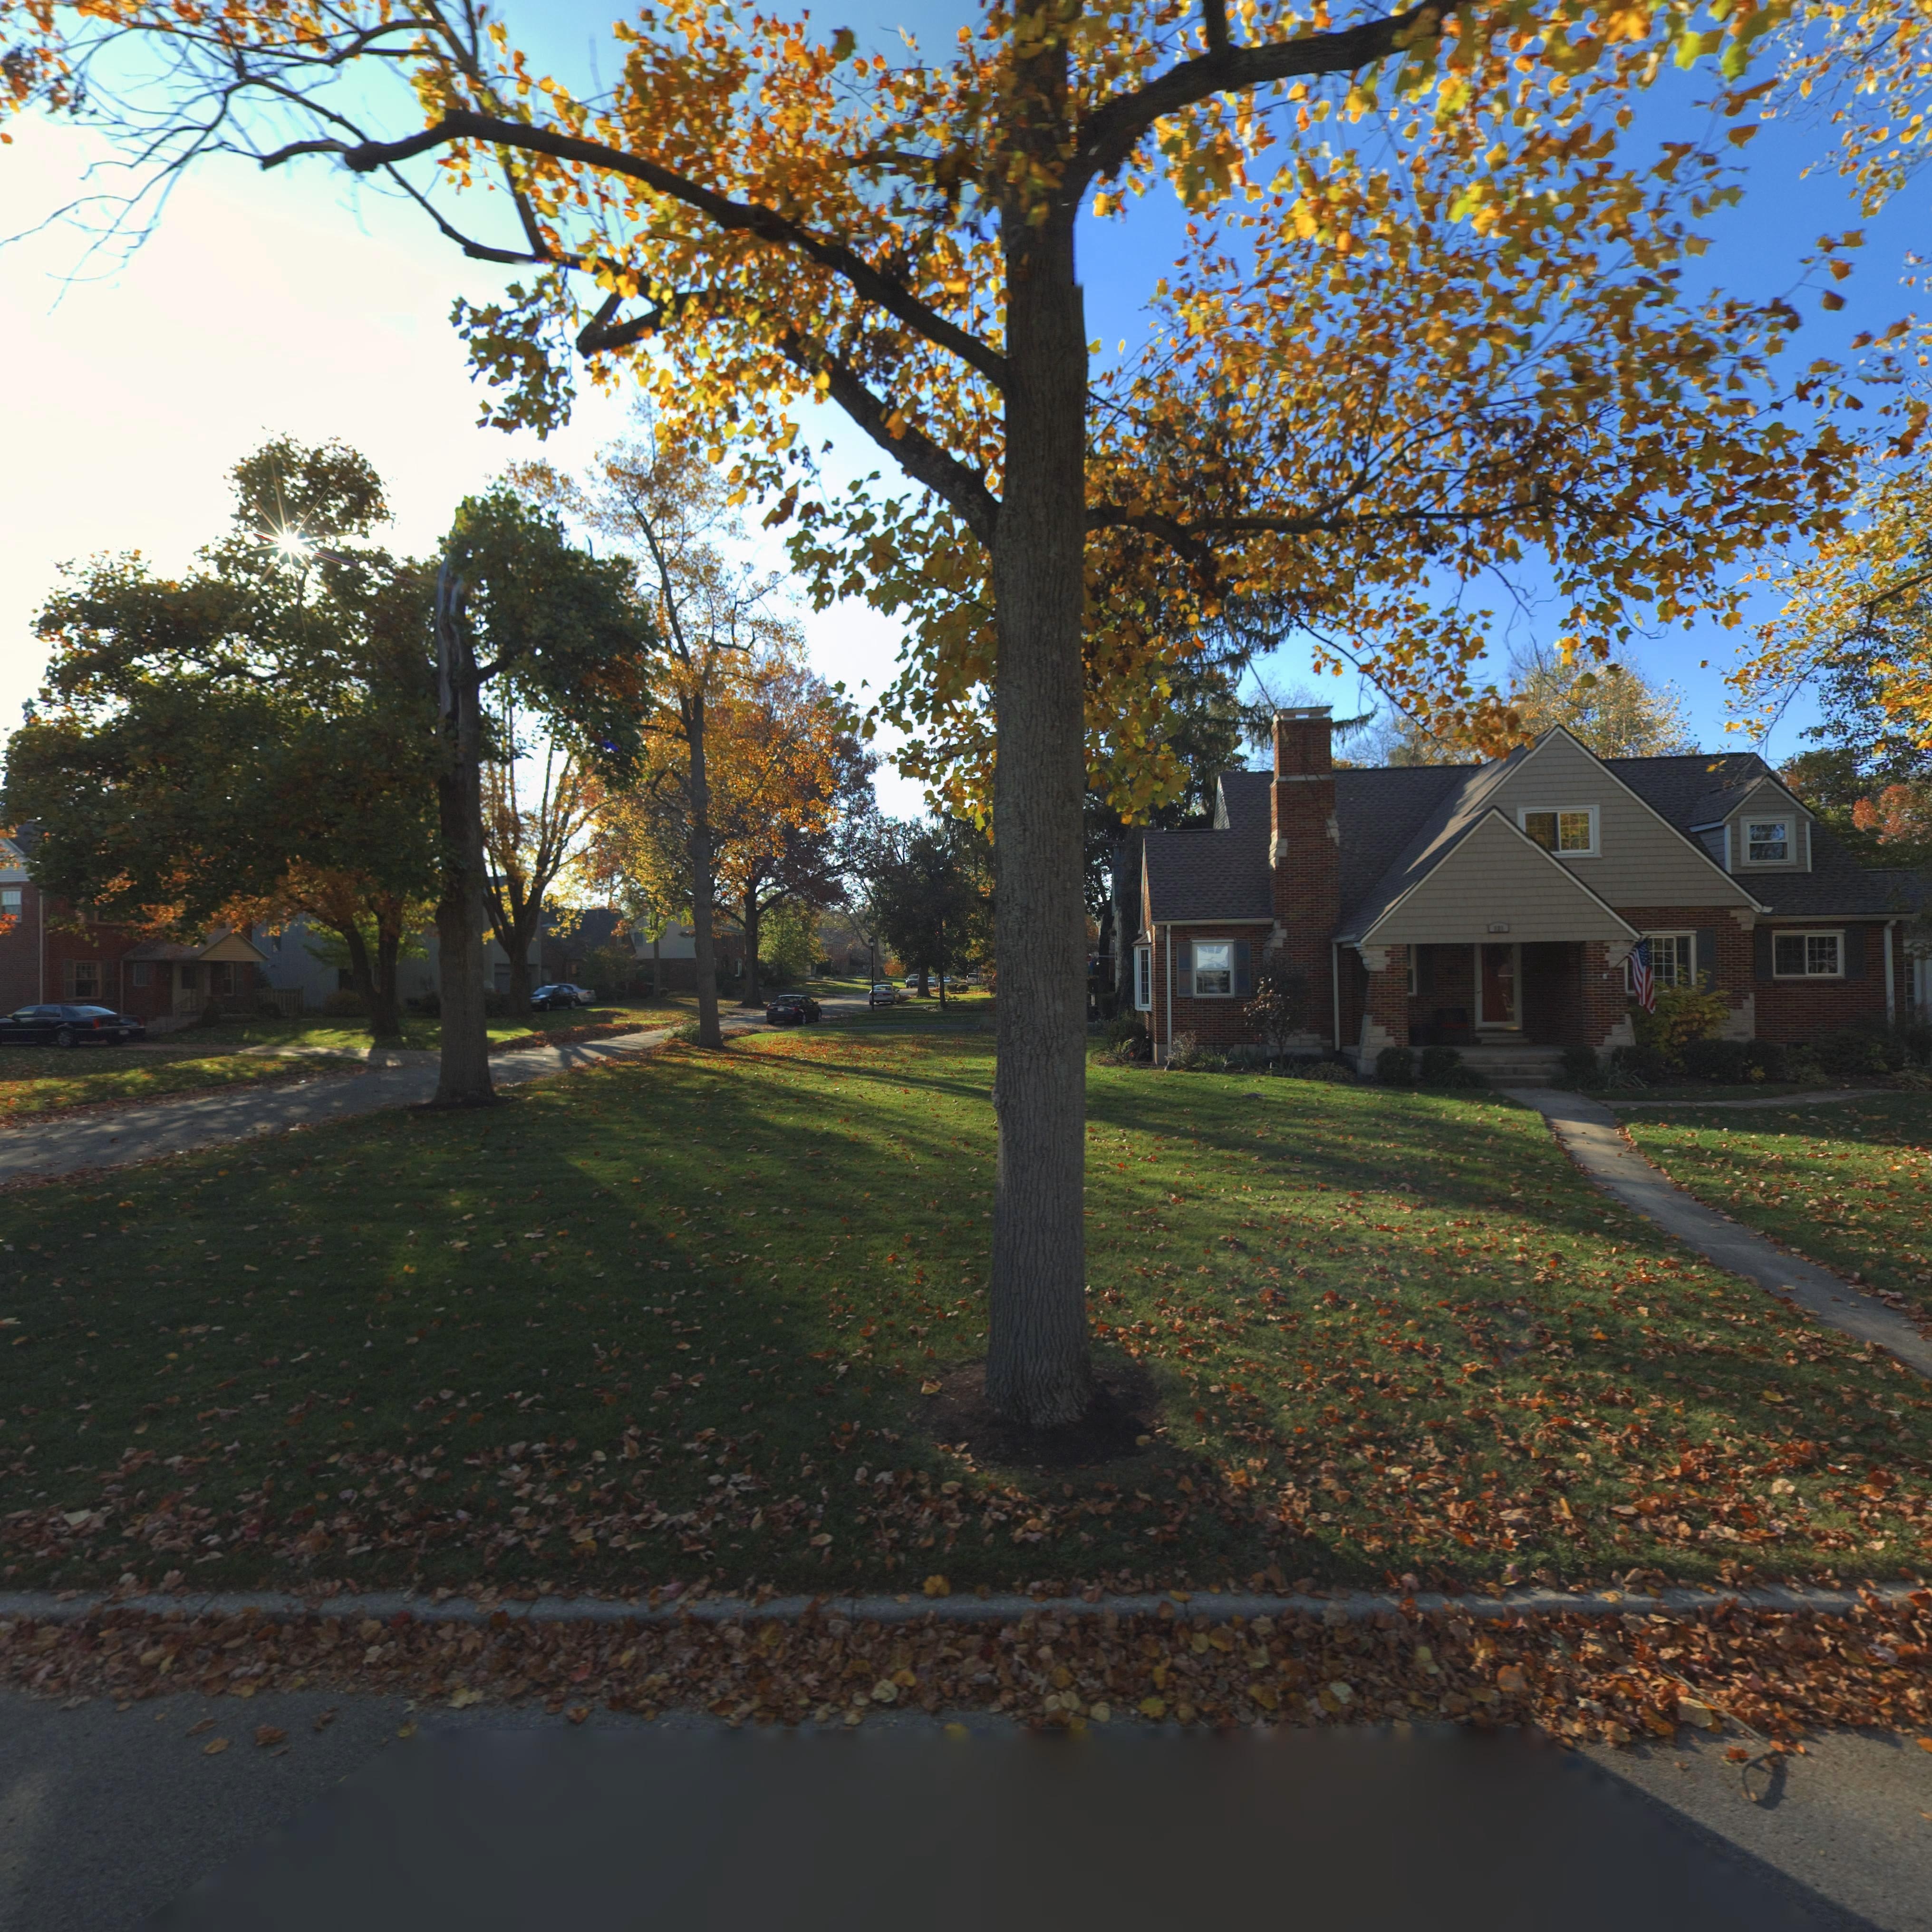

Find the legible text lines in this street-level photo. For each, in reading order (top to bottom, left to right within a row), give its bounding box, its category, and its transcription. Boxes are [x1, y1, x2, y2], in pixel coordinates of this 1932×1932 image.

[1493, 925, 1504, 932] StreetNumber: 8**